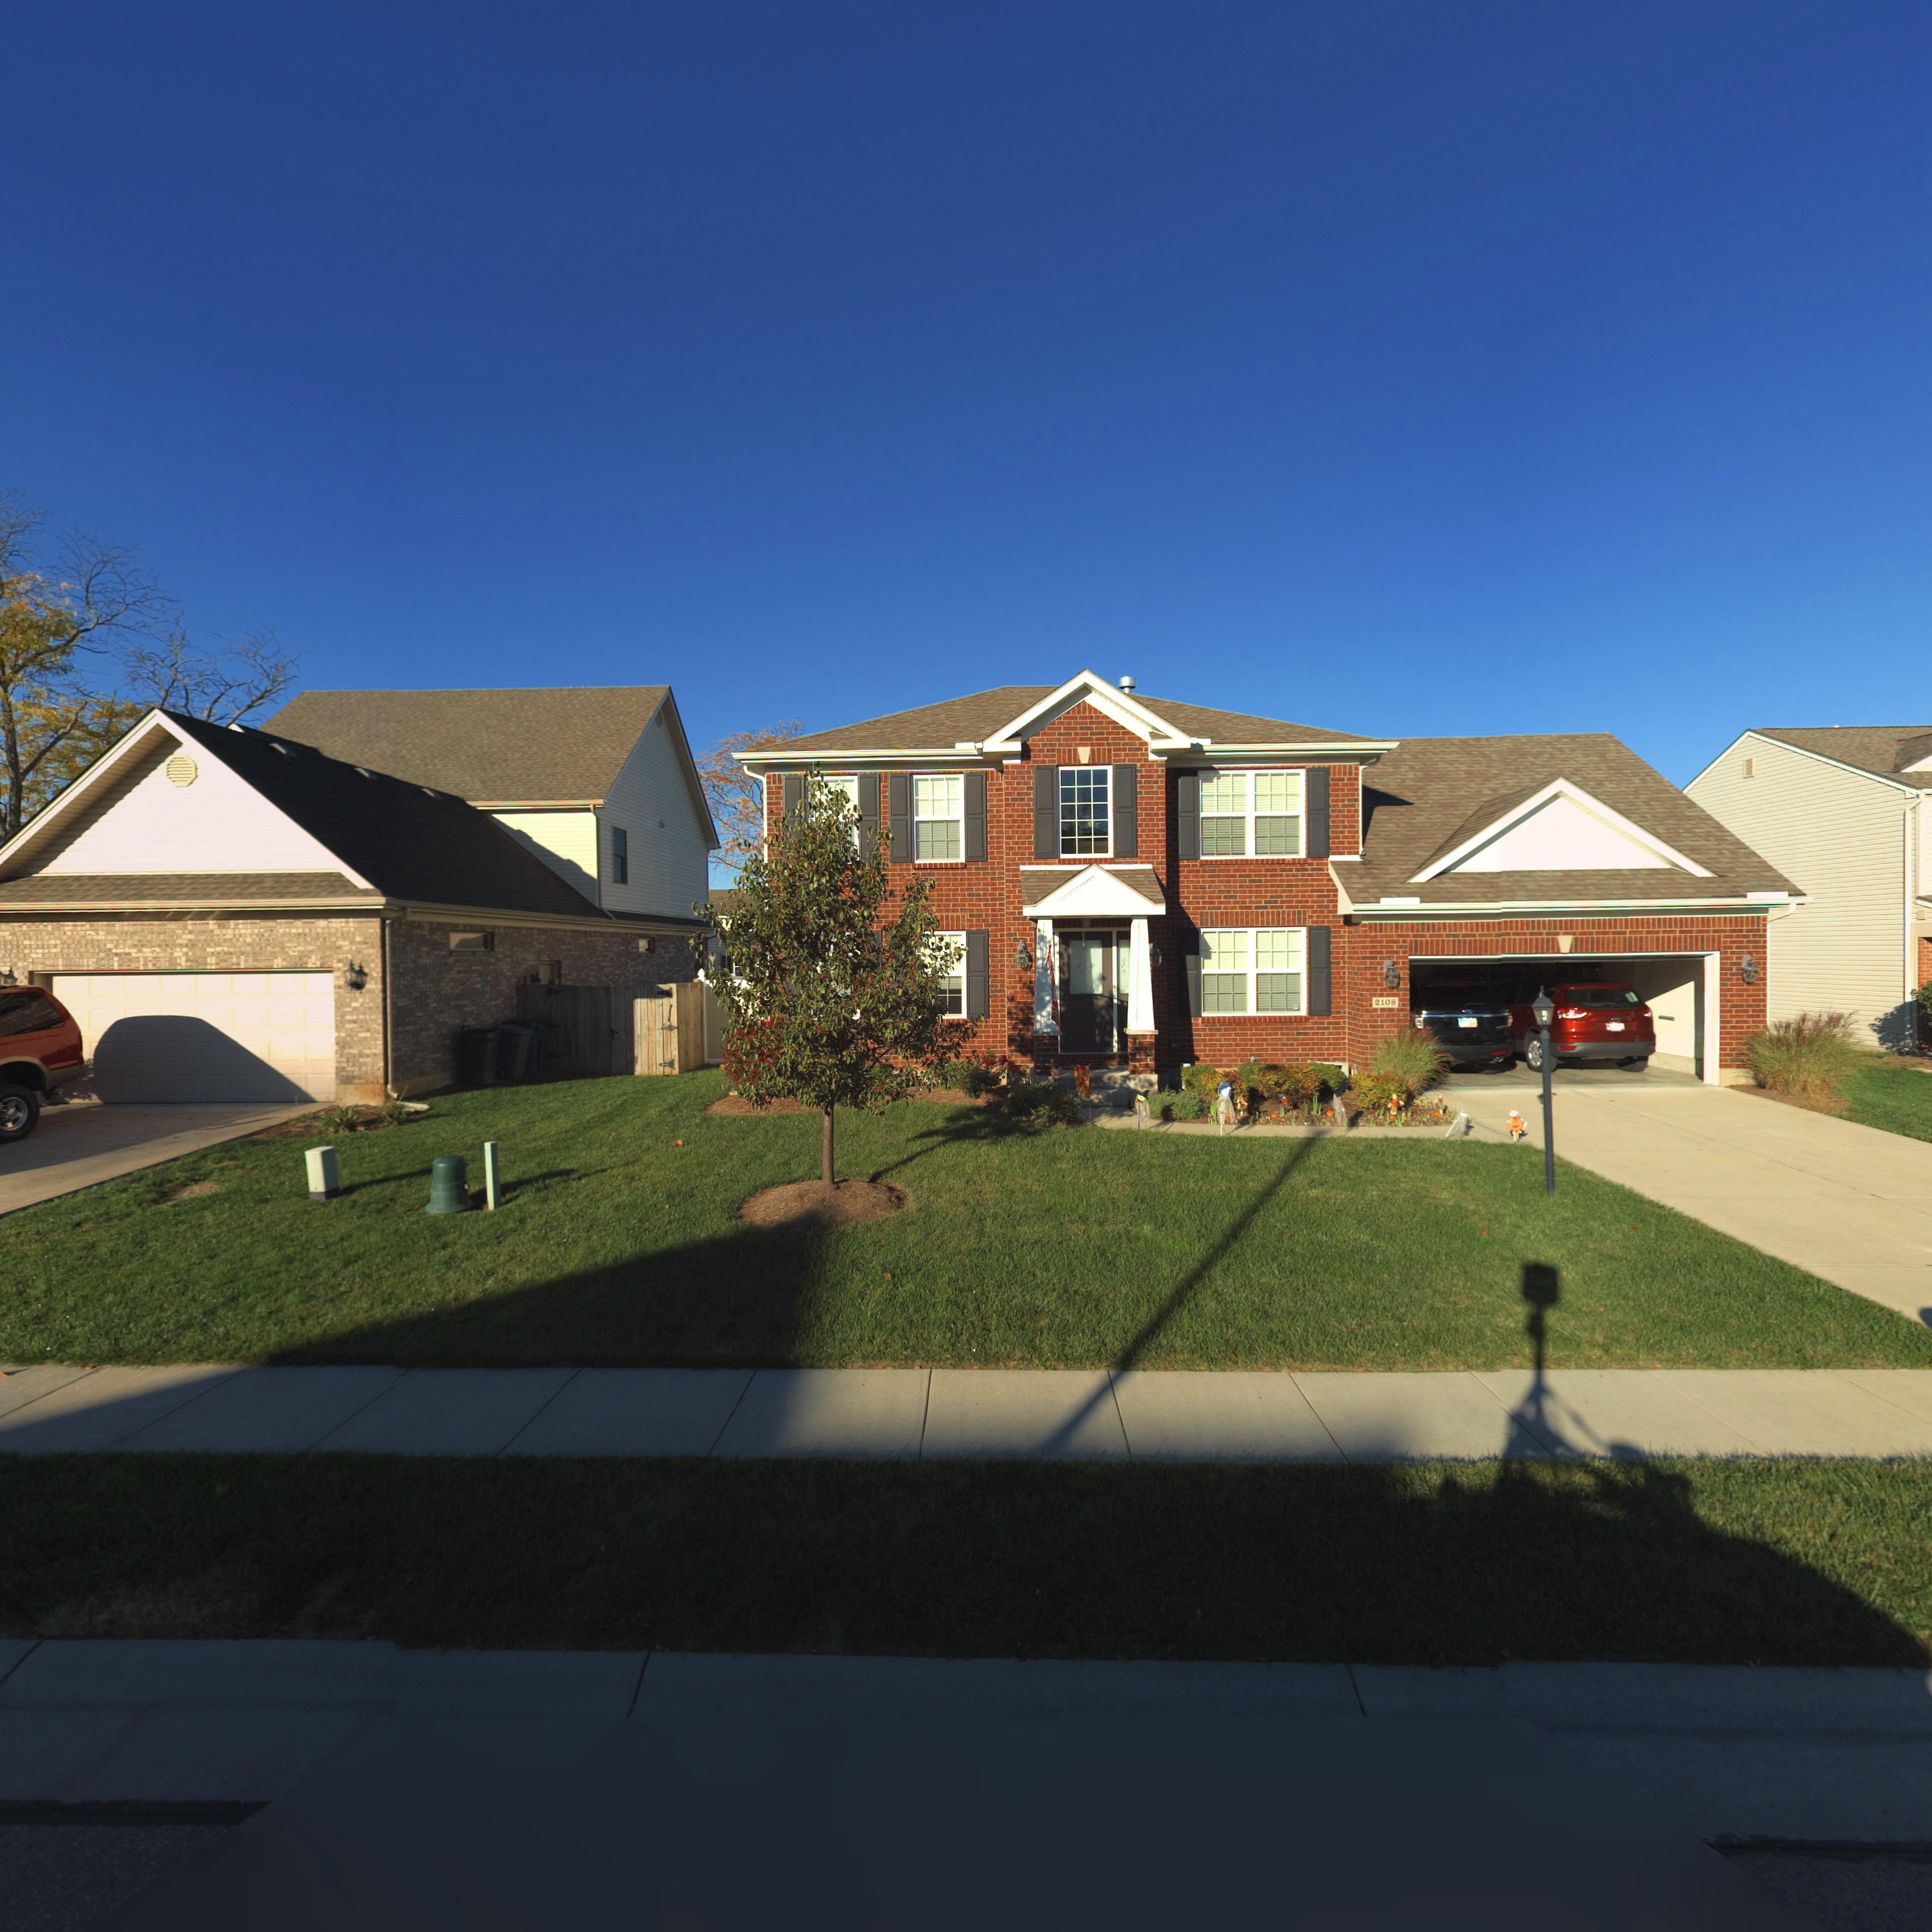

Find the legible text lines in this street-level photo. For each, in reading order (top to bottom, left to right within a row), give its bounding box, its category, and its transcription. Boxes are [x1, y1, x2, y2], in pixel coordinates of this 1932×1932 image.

[1373, 998, 1397, 1006] StreetNumber: 2108